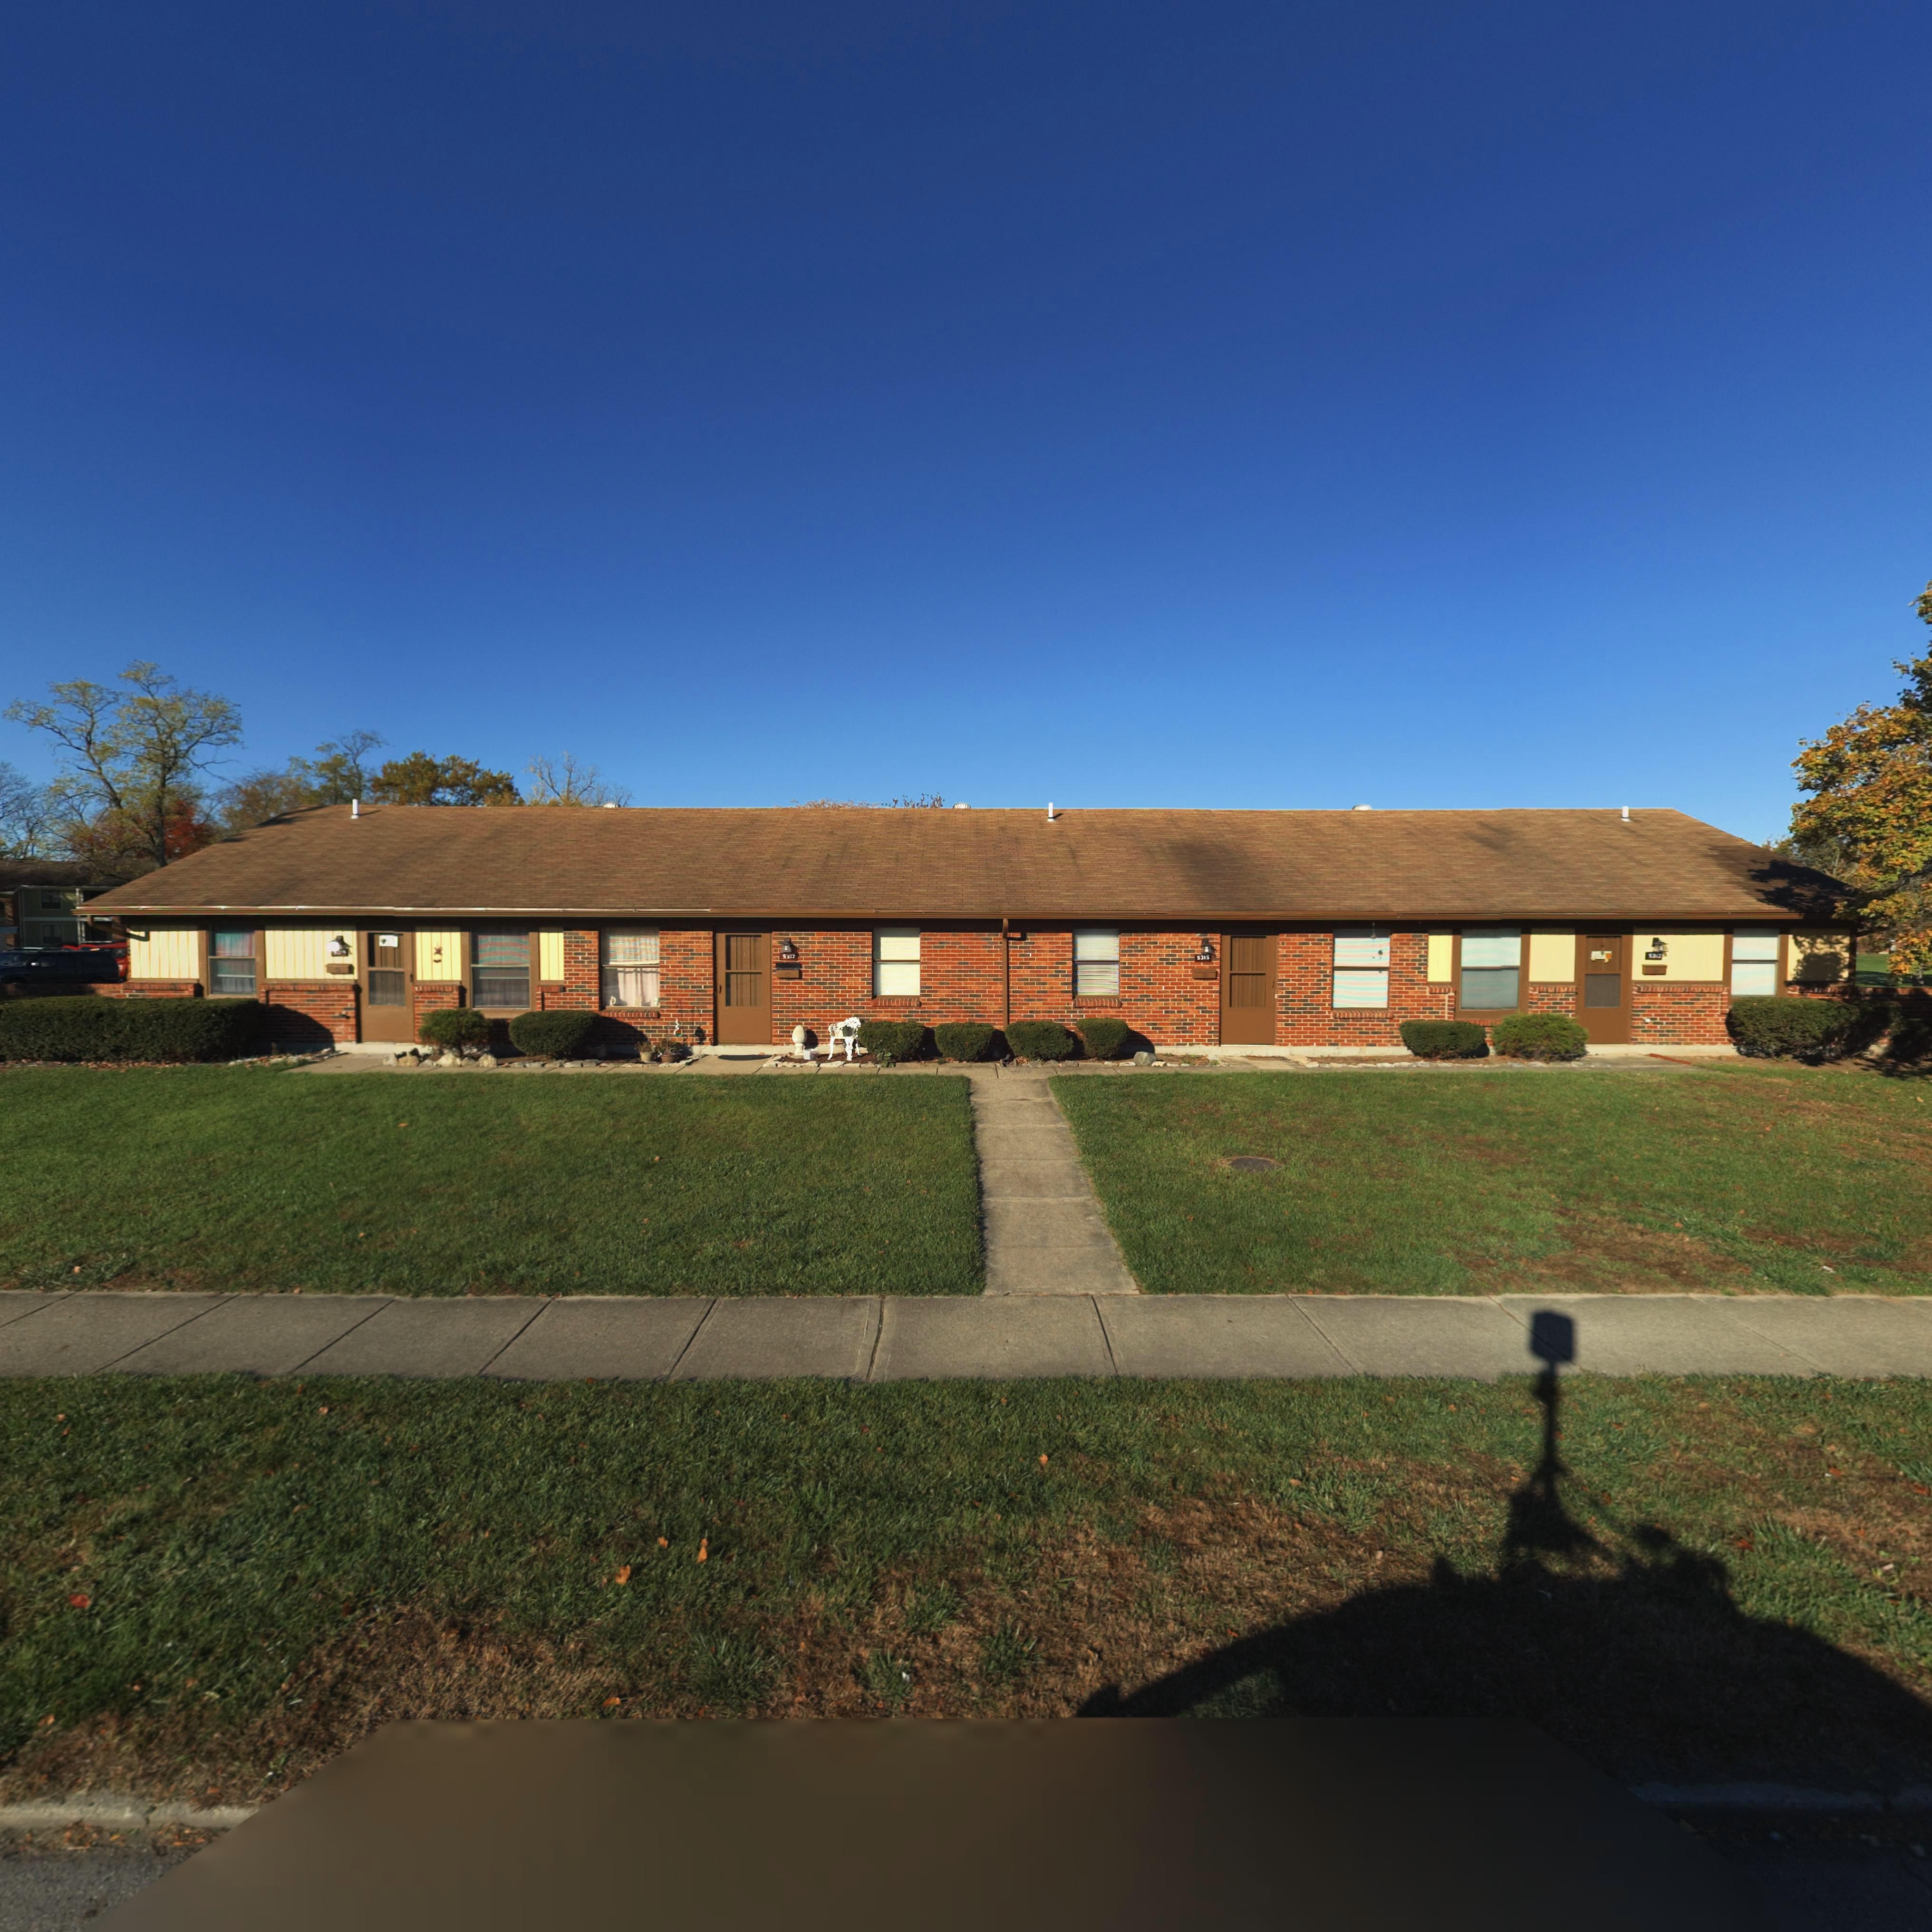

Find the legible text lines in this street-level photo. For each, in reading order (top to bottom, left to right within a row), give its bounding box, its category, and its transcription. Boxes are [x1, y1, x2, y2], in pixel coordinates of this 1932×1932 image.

[331, 949, 347, 955] StreetNumber: 5319
[782, 954, 796, 959] StreetNumber: 5317
[1196, 955, 1210, 961] StreetNumber: 5315
[1647, 952, 1661, 959] StreetNumber: 5313